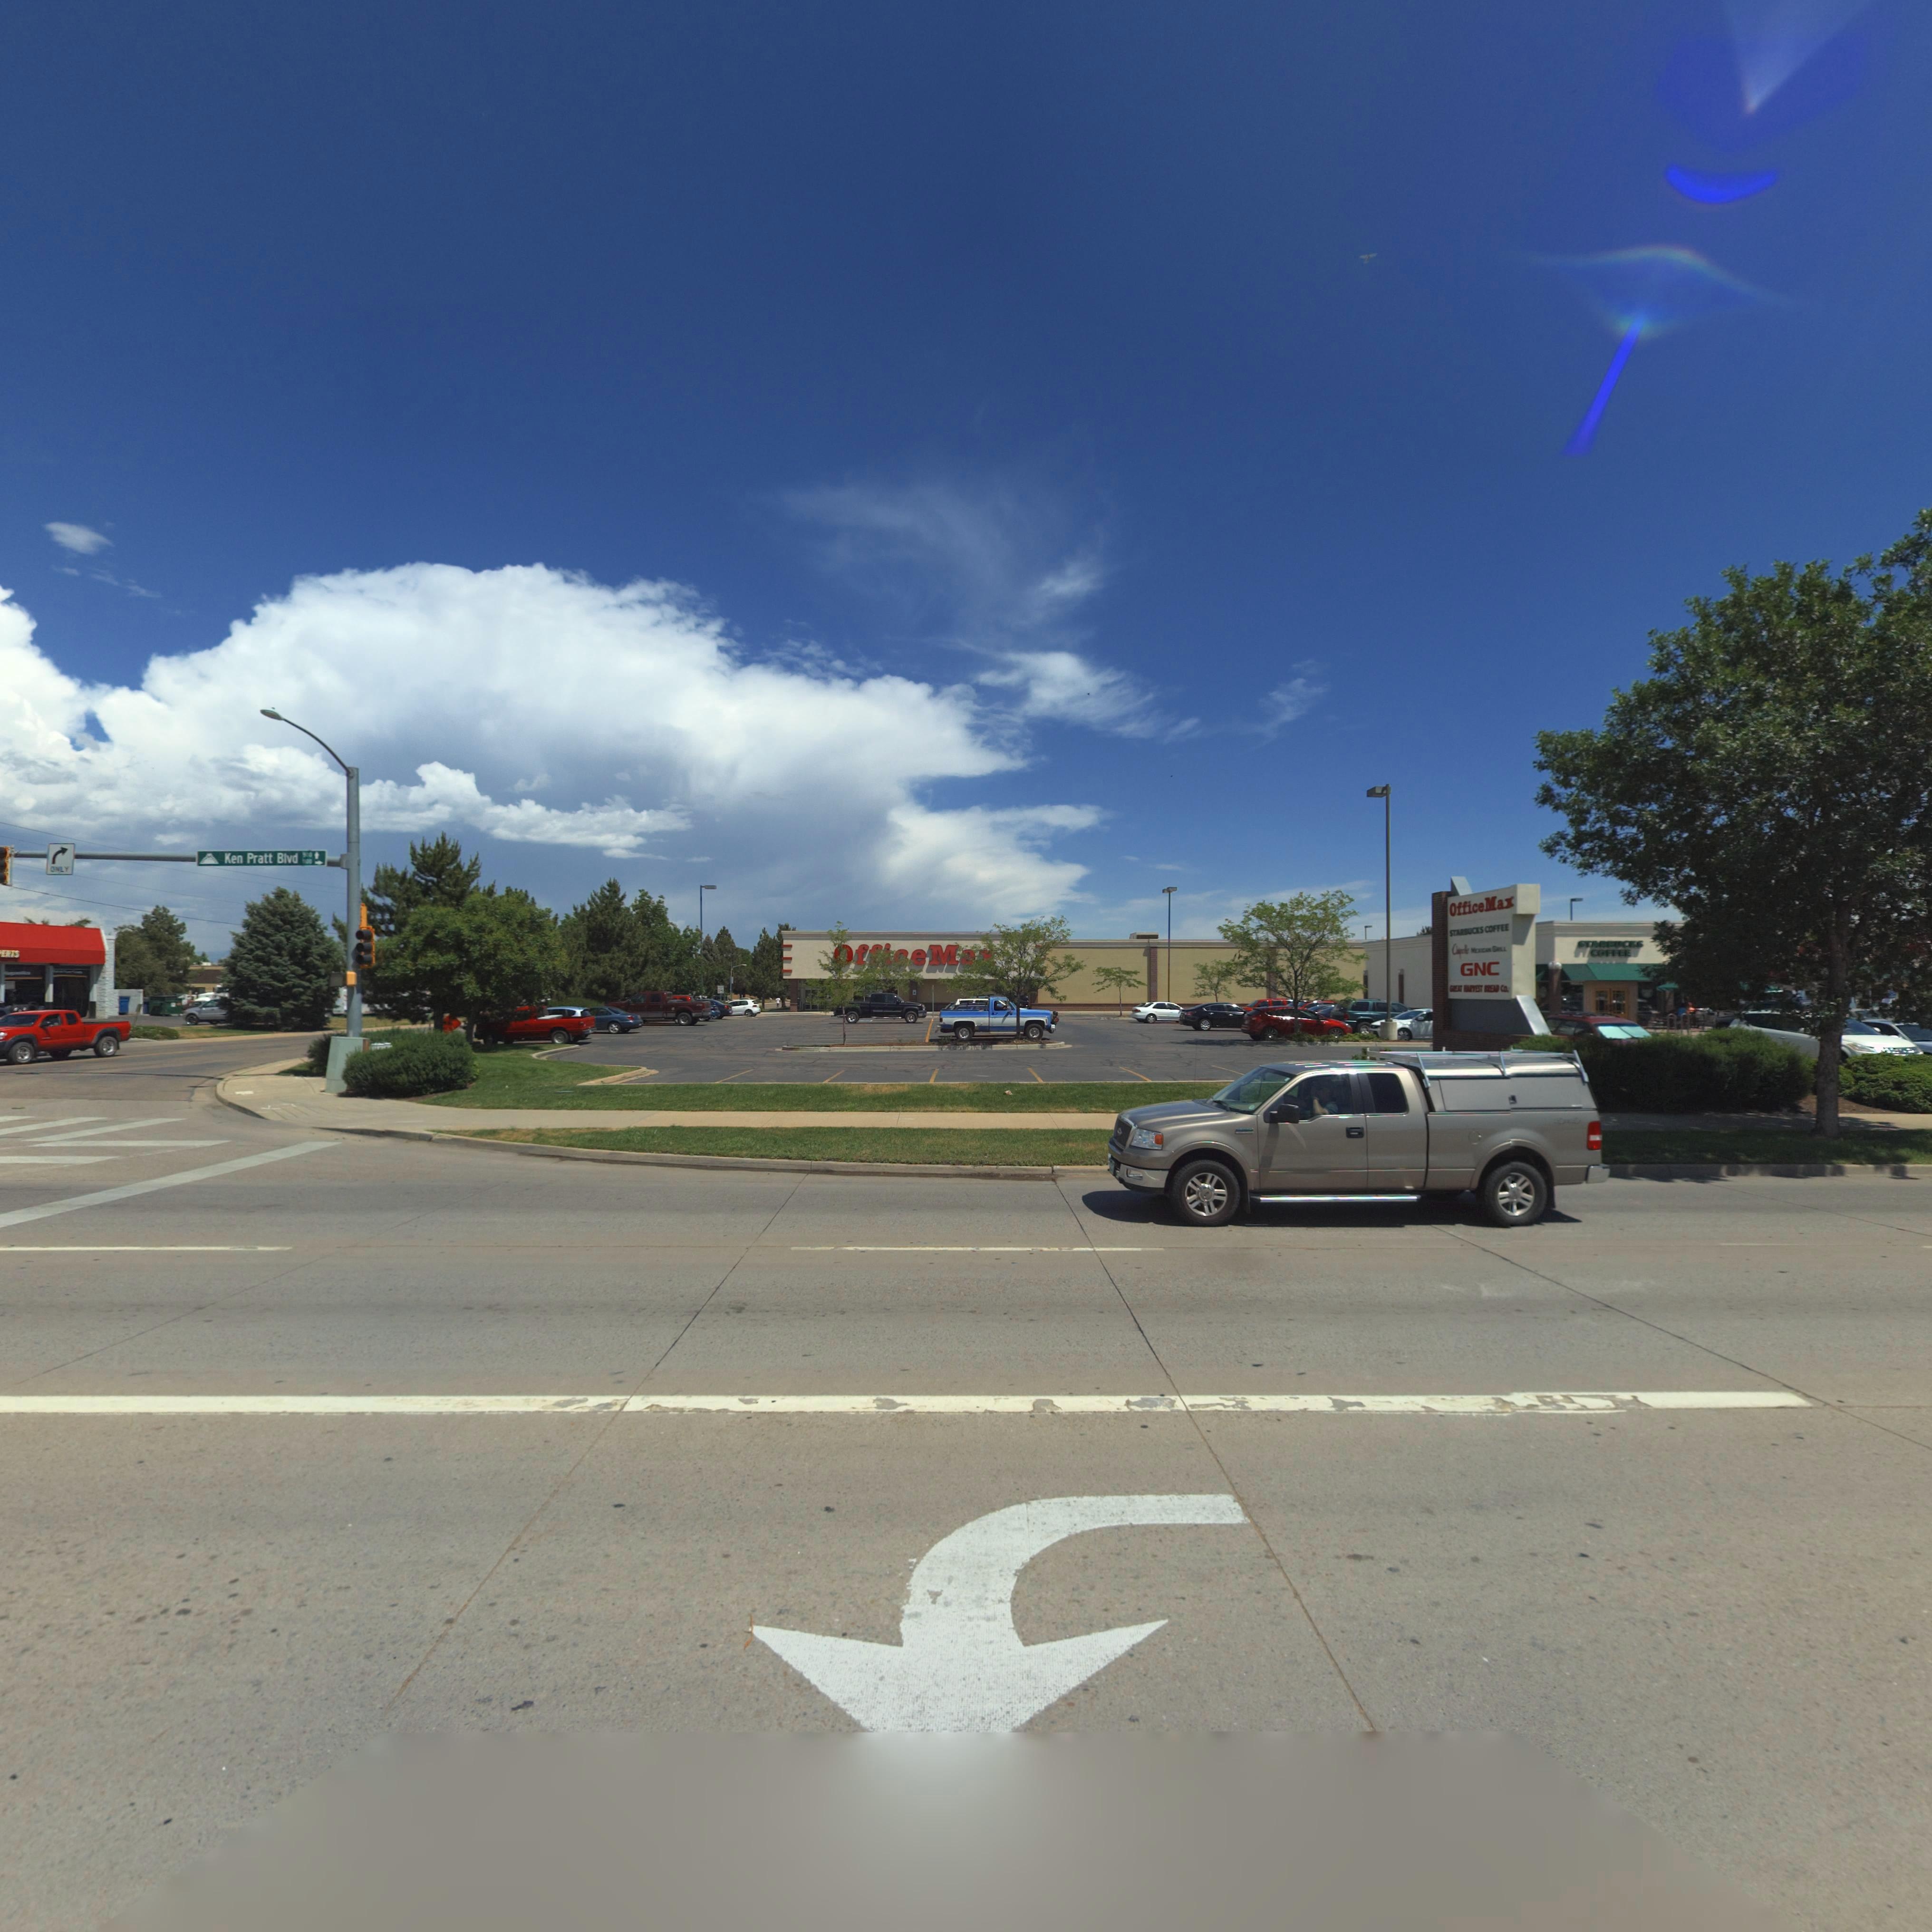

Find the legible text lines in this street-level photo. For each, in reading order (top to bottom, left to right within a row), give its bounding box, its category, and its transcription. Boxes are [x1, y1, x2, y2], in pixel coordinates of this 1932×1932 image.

[223, 852, 299, 864] StreetName: Ken Pratt Blvd
[301, 851, 313, 858] StreetNumberRange: 5*0
[301, 858, 324, 865] StreetNumberRange: 1*00->
[1449, 895, 1515, 917] BusinessName: OfficeMax
[1449, 923, 1510, 937] BusinessName: STARBUCKS COFFEE
[1577, 940, 1643, 948] BusinessName: STARBUCKS
[832, 944, 996, 966] BusinessName: Offi*eMa*
[1451, 942, 1507, 959] BusinessName: Ch*pol*e MEX*CAN GR*LL 
[1590, 948, 1632, 957] BusinessName: COFFEE
[1460, 961, 1499, 976] BusinessName: GNC
[1449, 984, 1510, 993] BusinessName: G*EAT **RVEST BREAD Co.